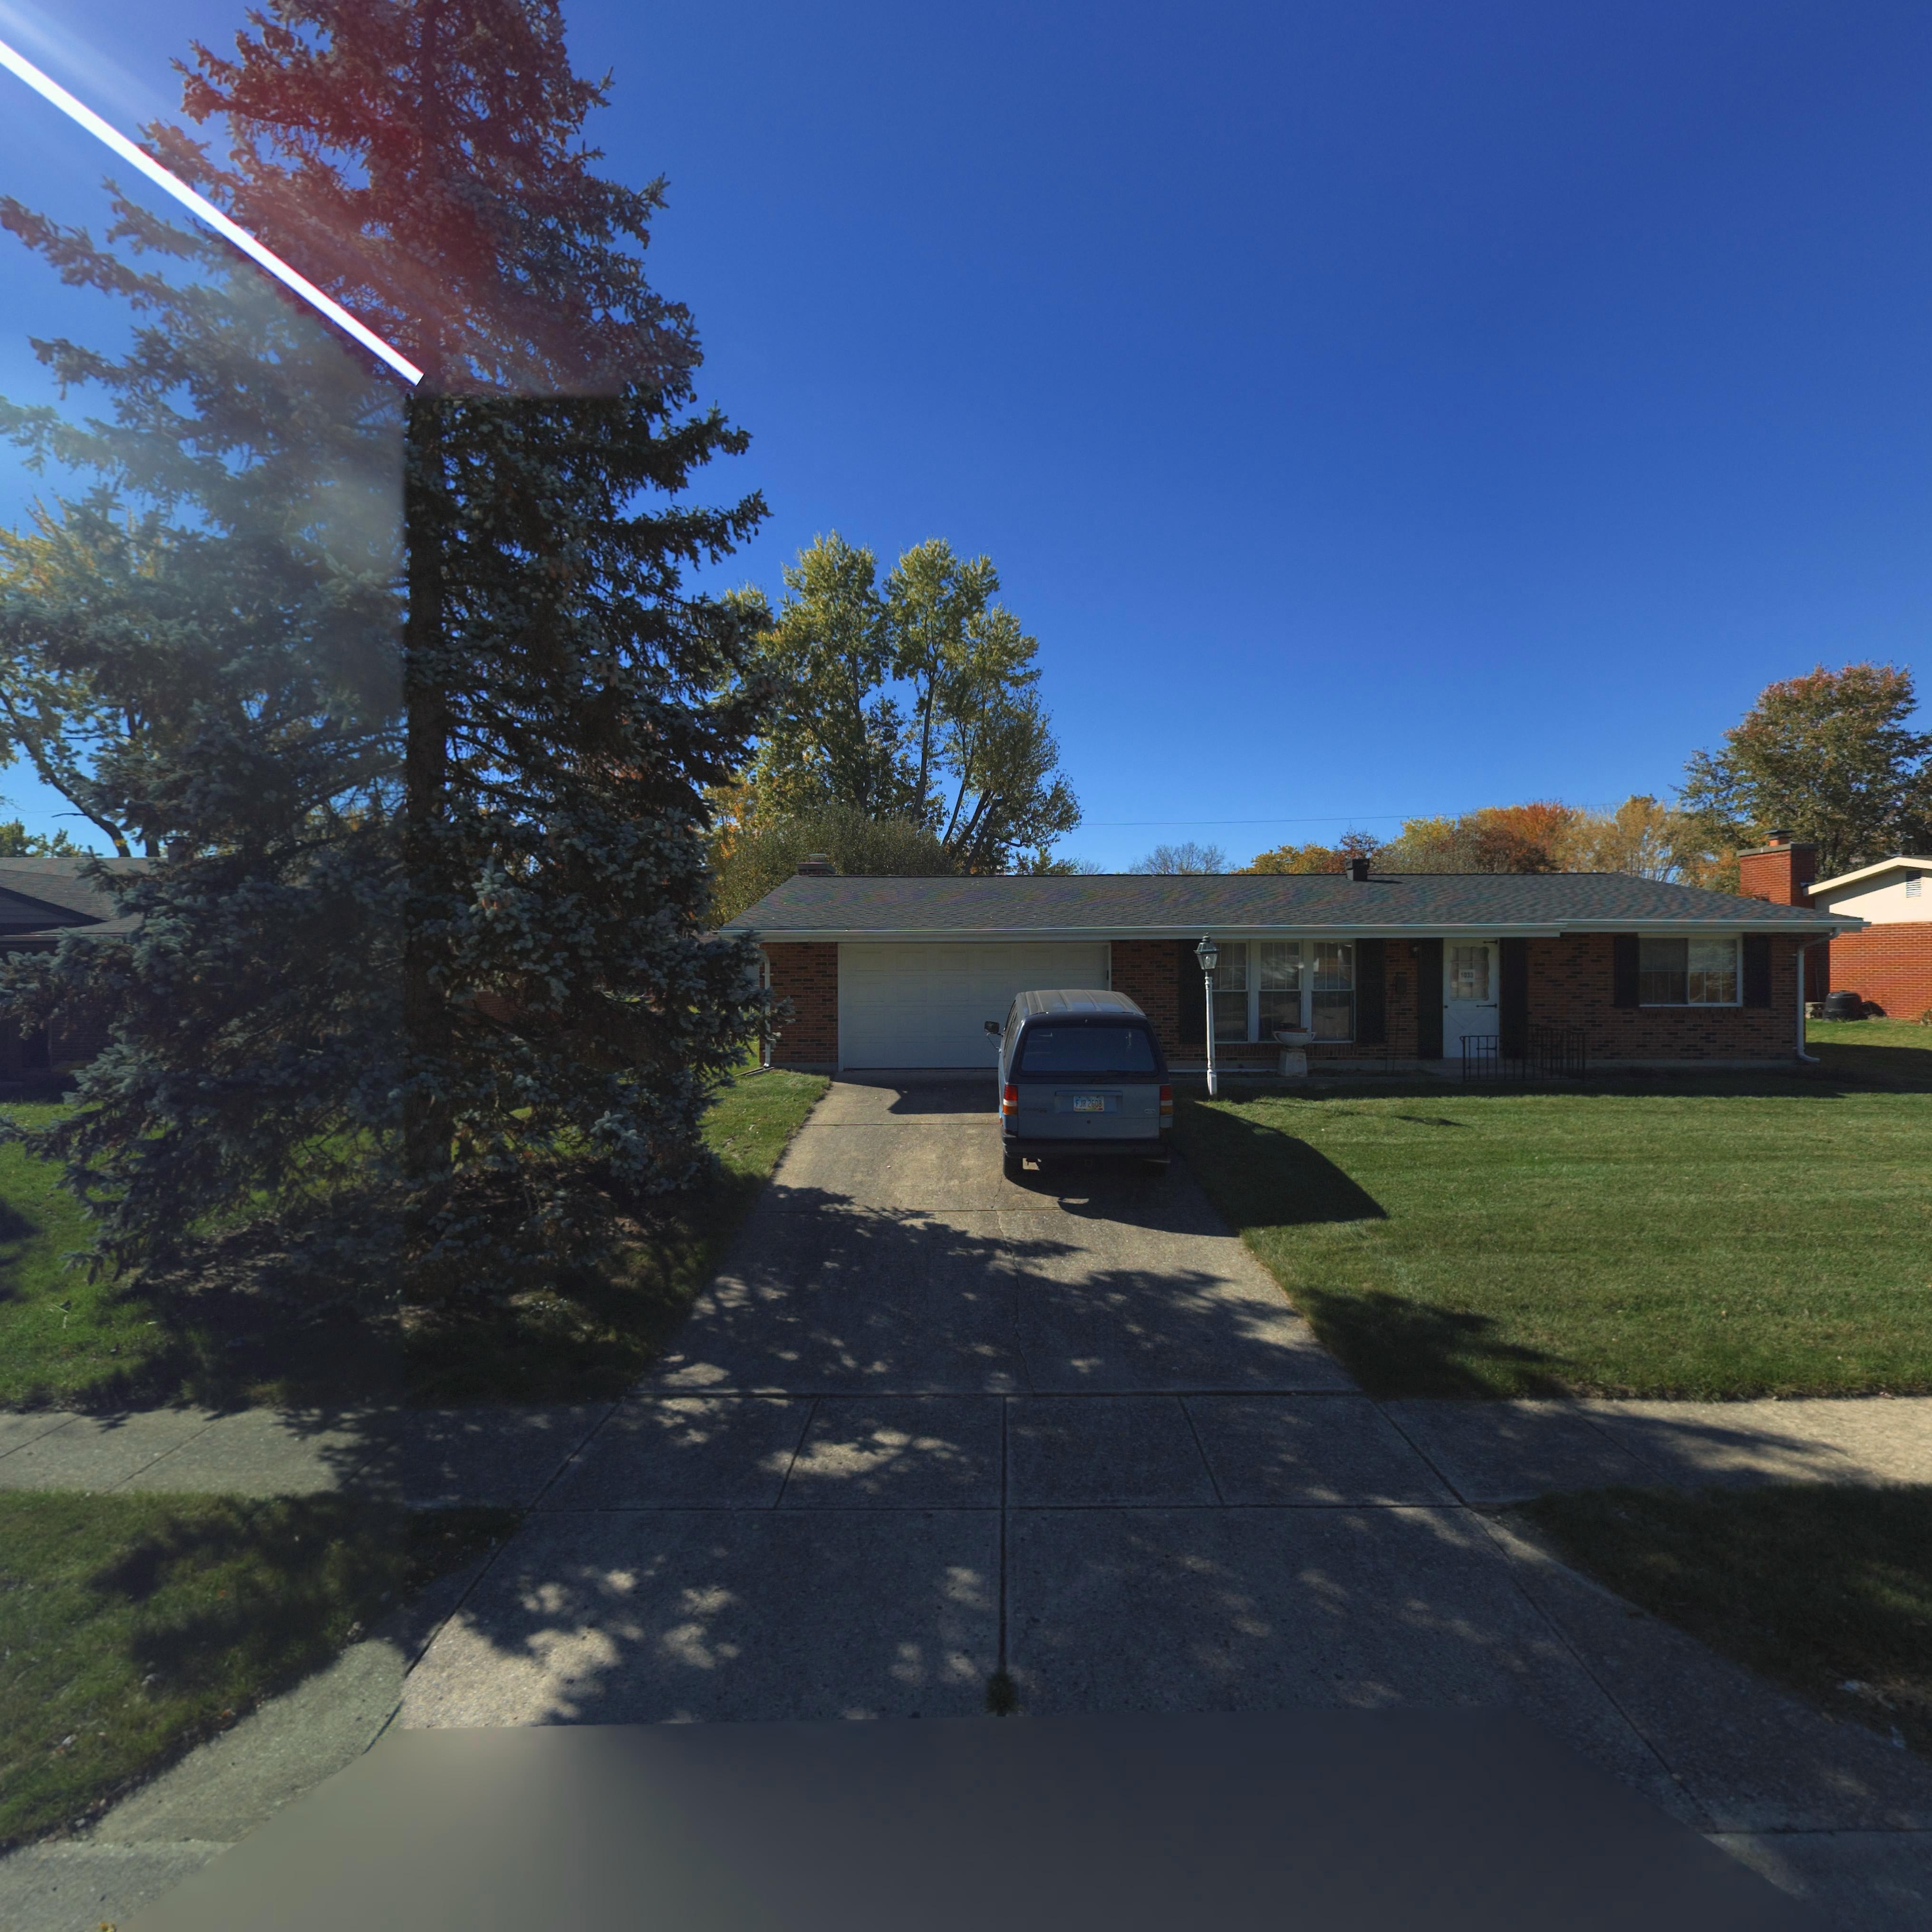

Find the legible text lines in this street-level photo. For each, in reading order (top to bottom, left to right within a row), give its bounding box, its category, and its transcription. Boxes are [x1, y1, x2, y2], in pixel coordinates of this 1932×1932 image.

[1459, 971, 1474, 979] StreetNumber: 1033